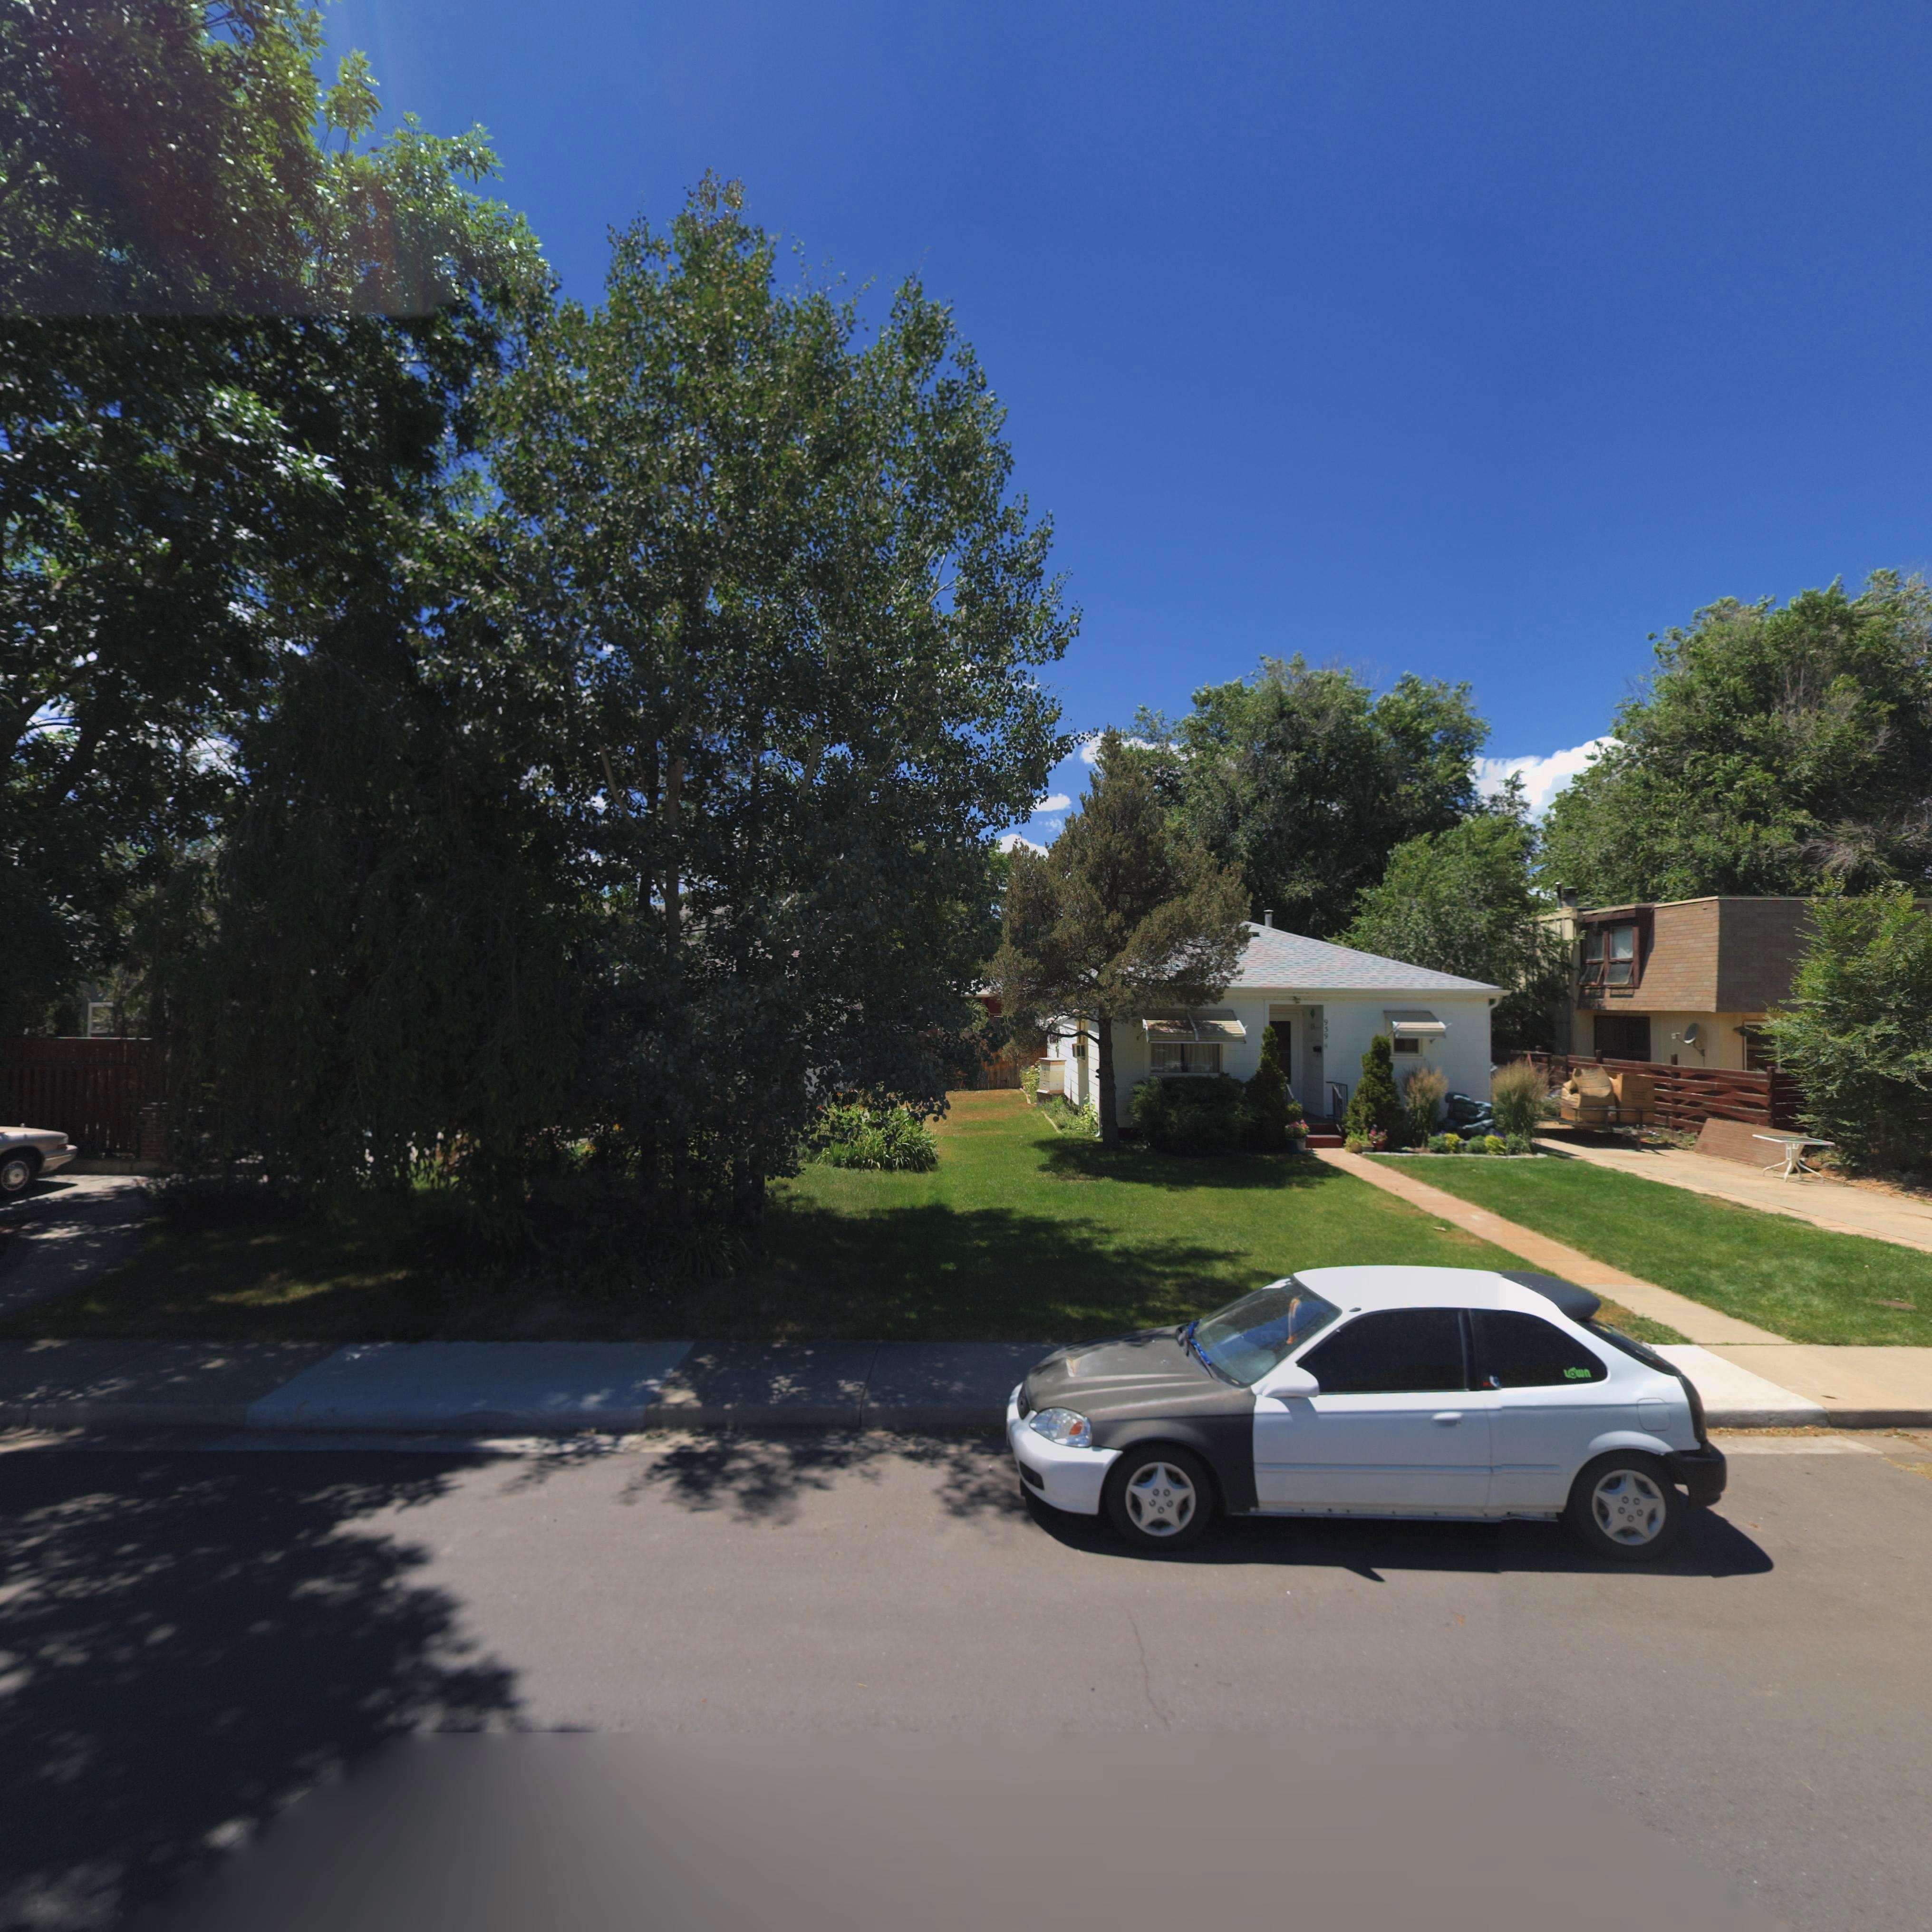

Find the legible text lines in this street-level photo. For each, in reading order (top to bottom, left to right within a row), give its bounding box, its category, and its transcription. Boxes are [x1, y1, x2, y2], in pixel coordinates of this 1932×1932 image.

[1323, 1019, 1328, 1040] StreetNumber: 939